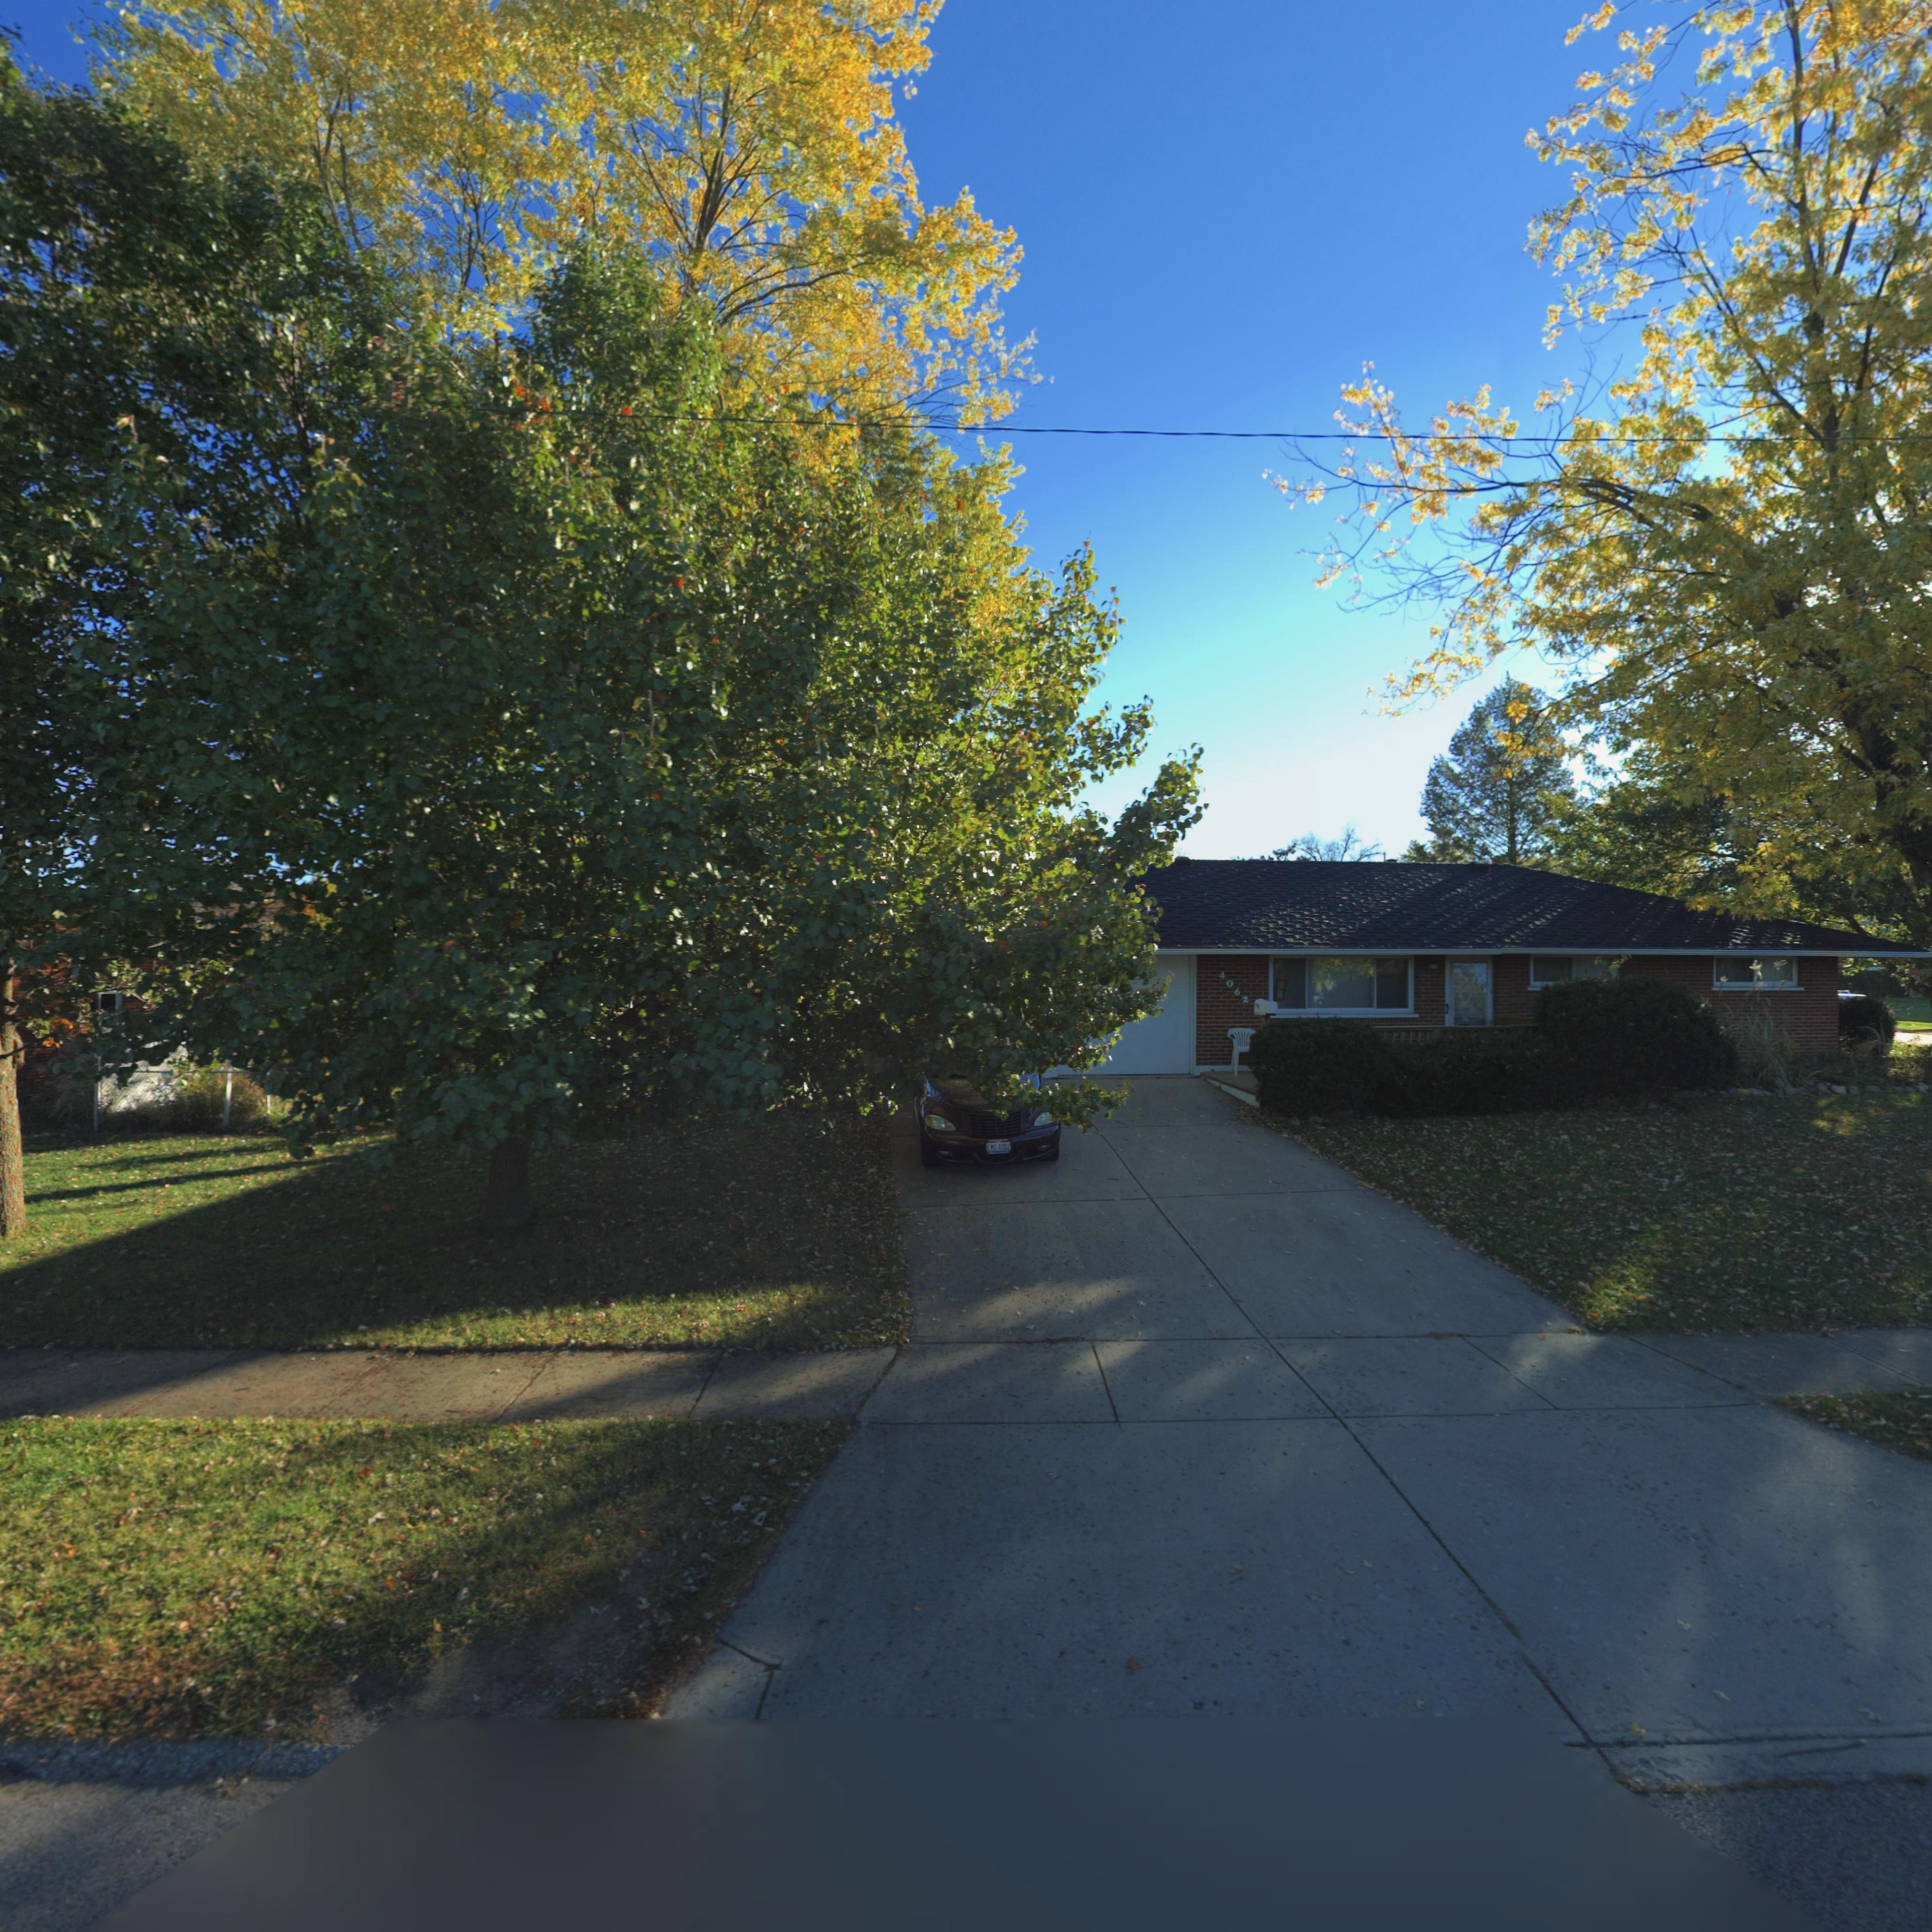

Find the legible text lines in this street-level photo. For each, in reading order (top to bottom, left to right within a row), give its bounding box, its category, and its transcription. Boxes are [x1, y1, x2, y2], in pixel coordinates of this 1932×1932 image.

[1218, 971, 1249, 1004] StreetNumber: 4062